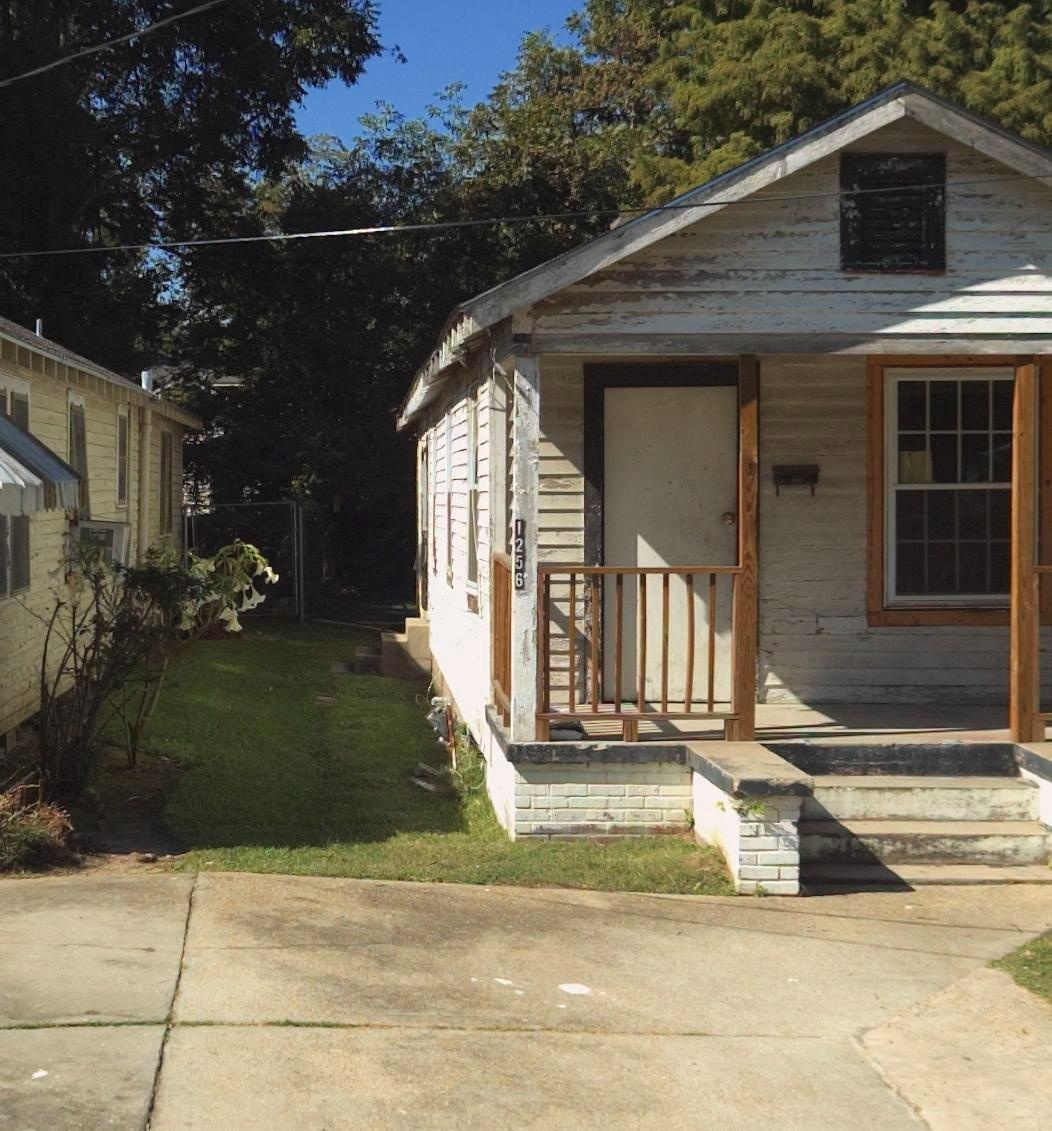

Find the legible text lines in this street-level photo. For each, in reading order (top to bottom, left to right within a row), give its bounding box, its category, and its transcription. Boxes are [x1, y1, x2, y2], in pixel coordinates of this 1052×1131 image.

[513, 519, 525, 589] StreetNumber: 1256